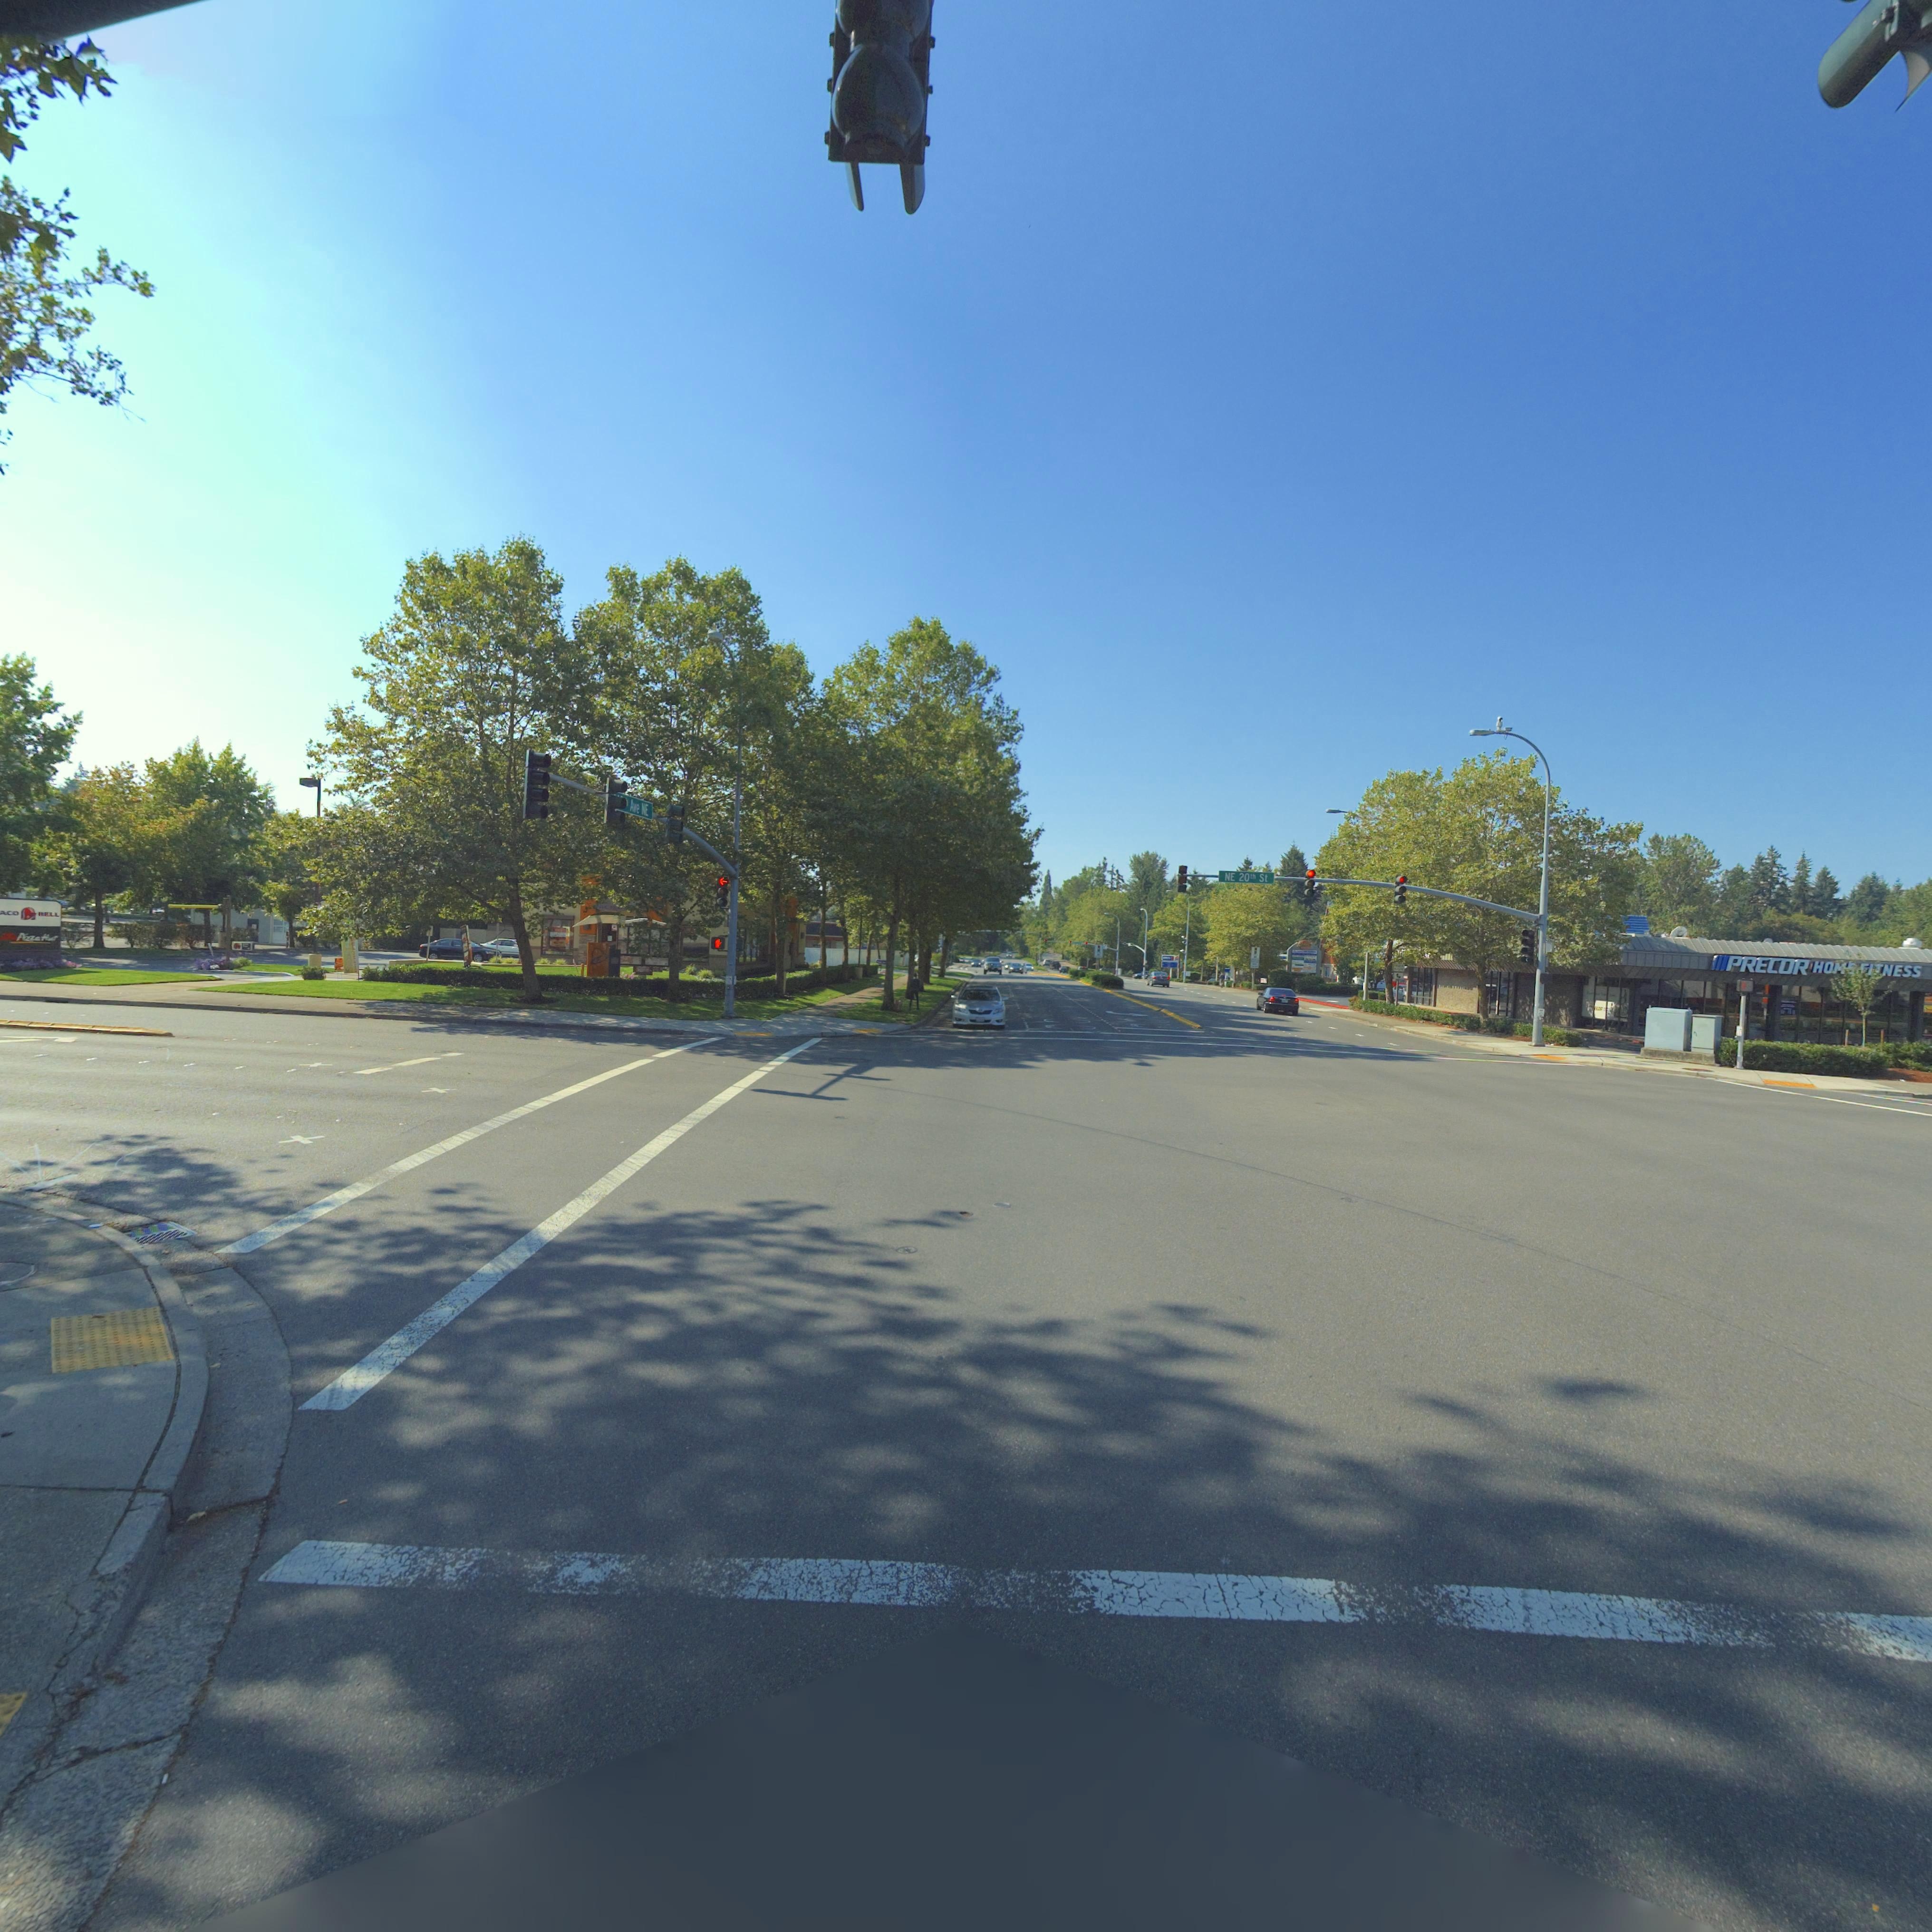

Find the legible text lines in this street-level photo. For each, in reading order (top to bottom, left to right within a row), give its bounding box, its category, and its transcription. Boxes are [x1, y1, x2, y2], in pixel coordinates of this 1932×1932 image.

[629, 798, 648, 817] StreetName: Ave NE
[1225, 872, 1268, 882] StreetName: NE 20th St
[6, 909, 59, 918] BusinessName: CO * BELL
[16, 931, 59, 942] BusinessName: Pizza H*t
[1724, 955, 1923, 979] BusinessName: PRECOR HOM* *ITNESS